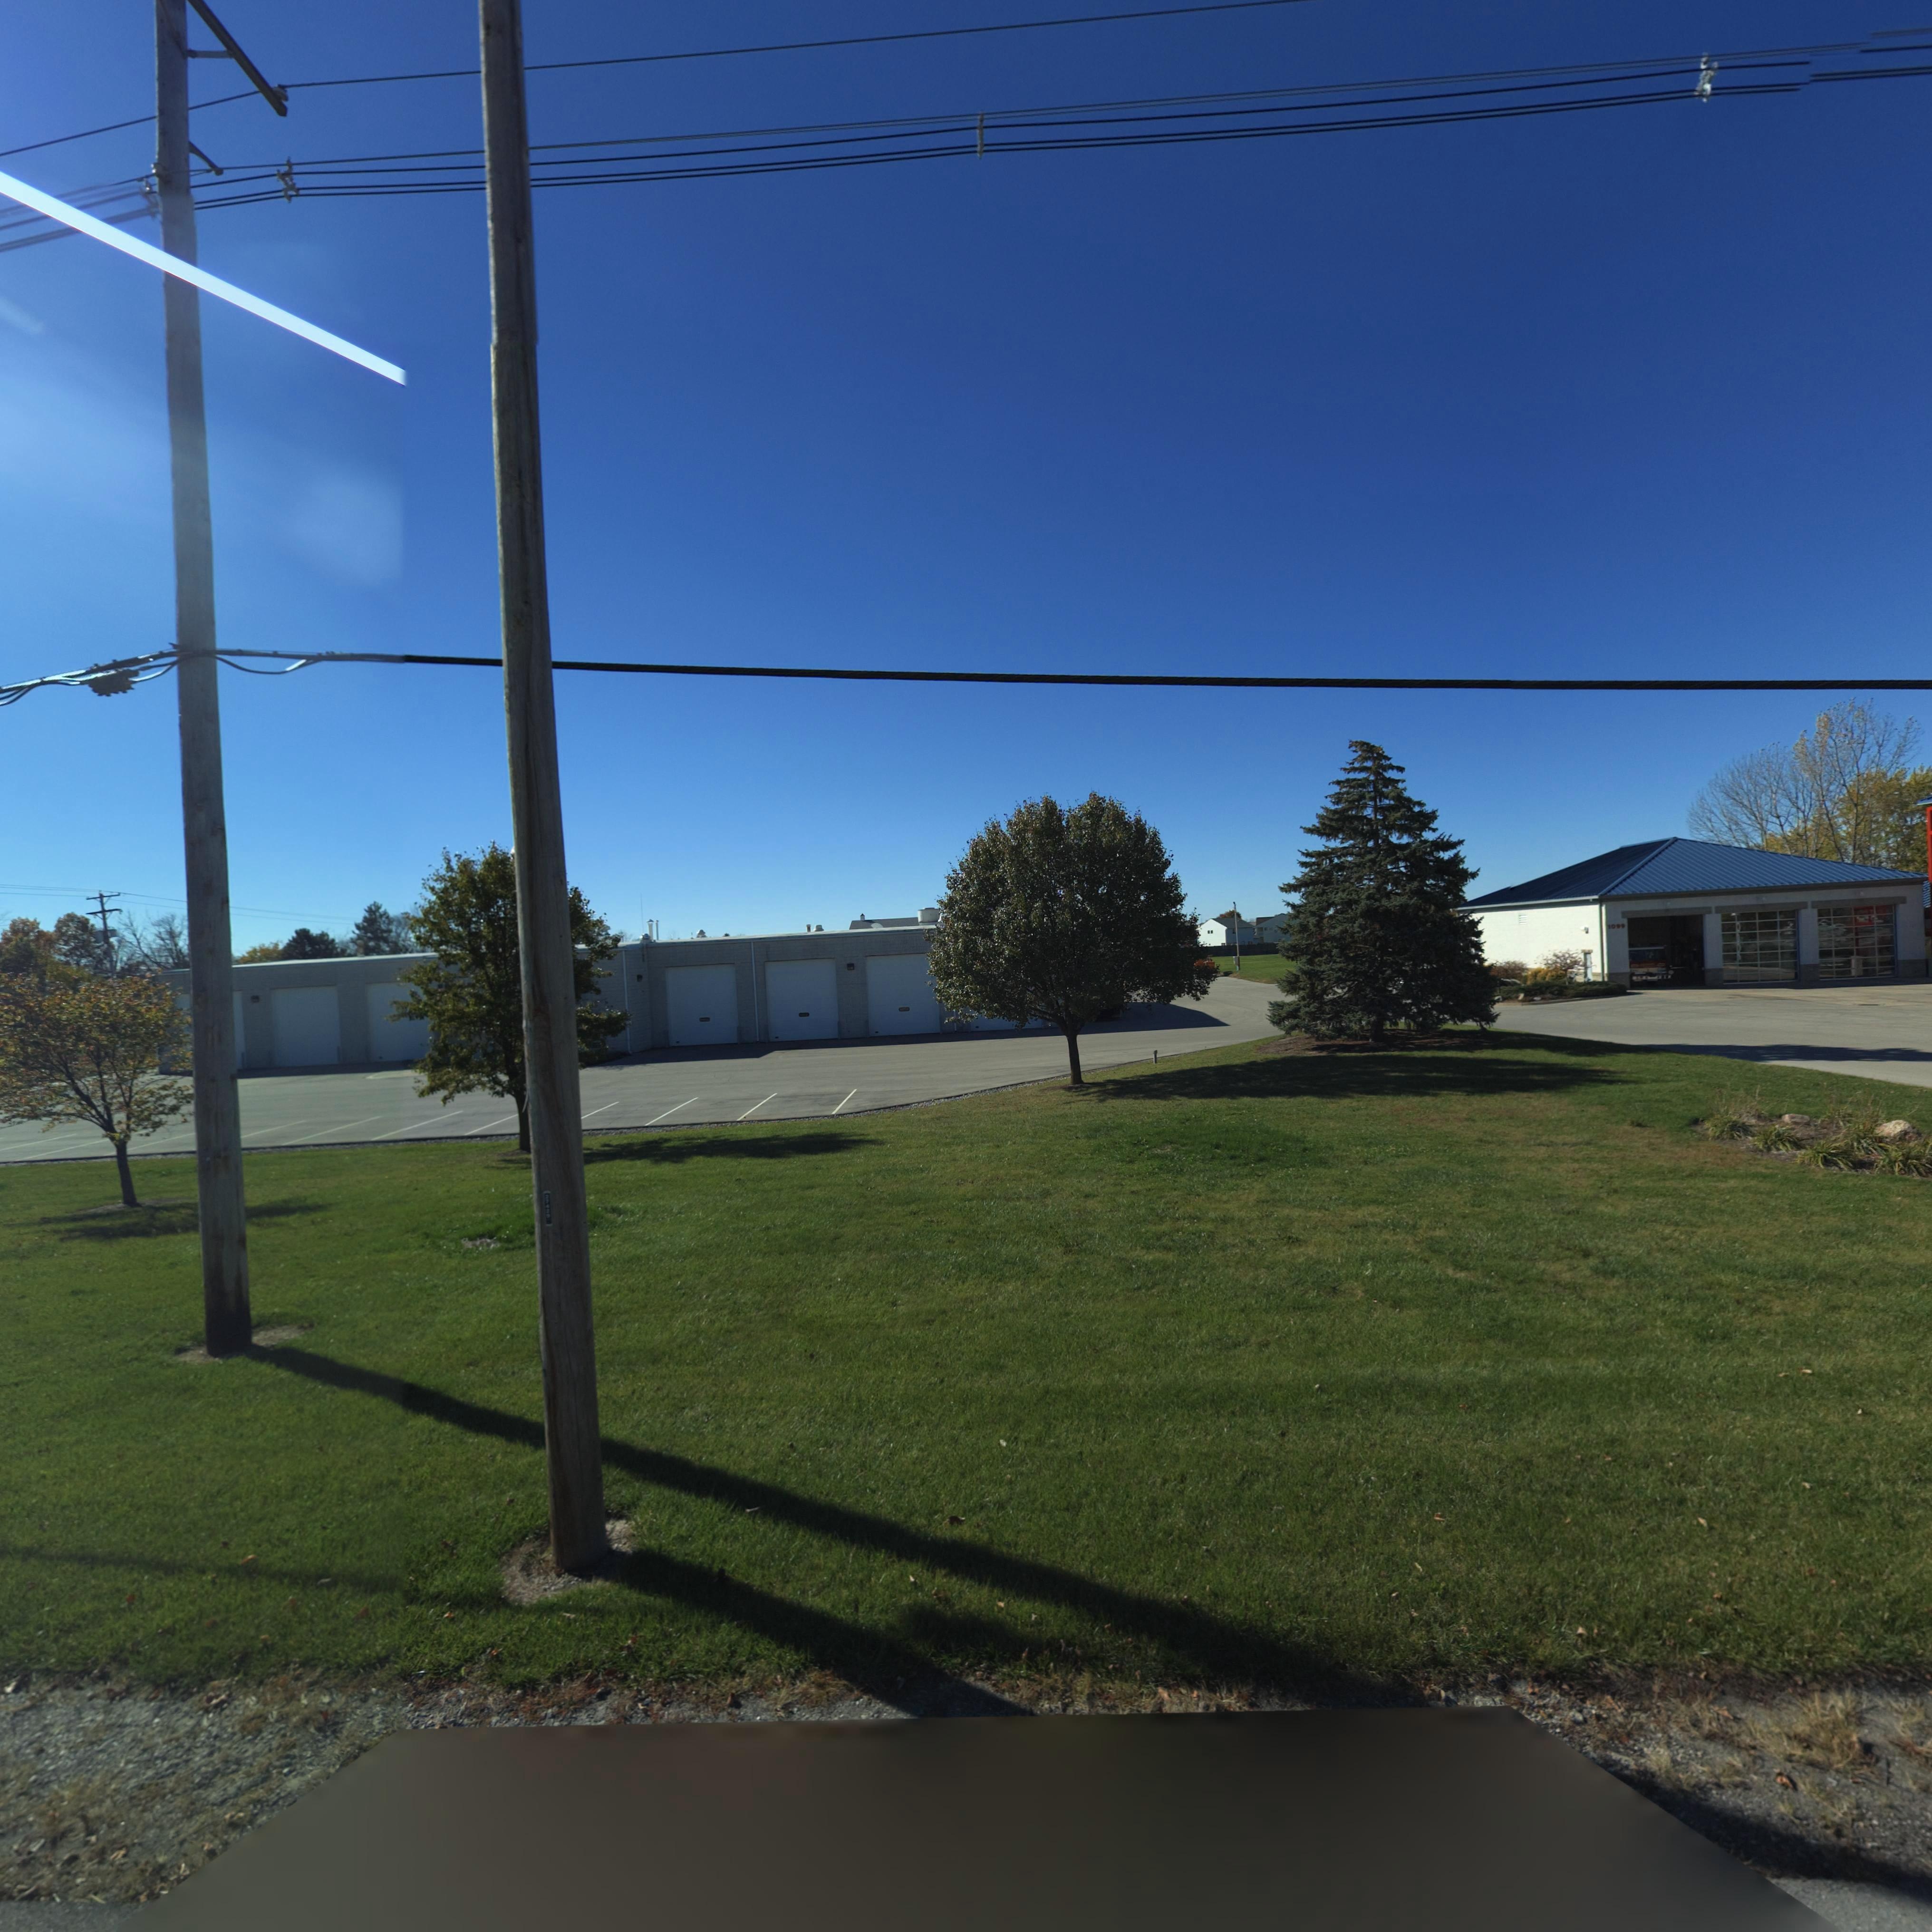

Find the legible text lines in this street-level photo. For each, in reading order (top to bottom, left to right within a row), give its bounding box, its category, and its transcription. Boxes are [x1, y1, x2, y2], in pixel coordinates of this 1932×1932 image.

[1606, 922, 1626, 931] StreetNumber: 10**